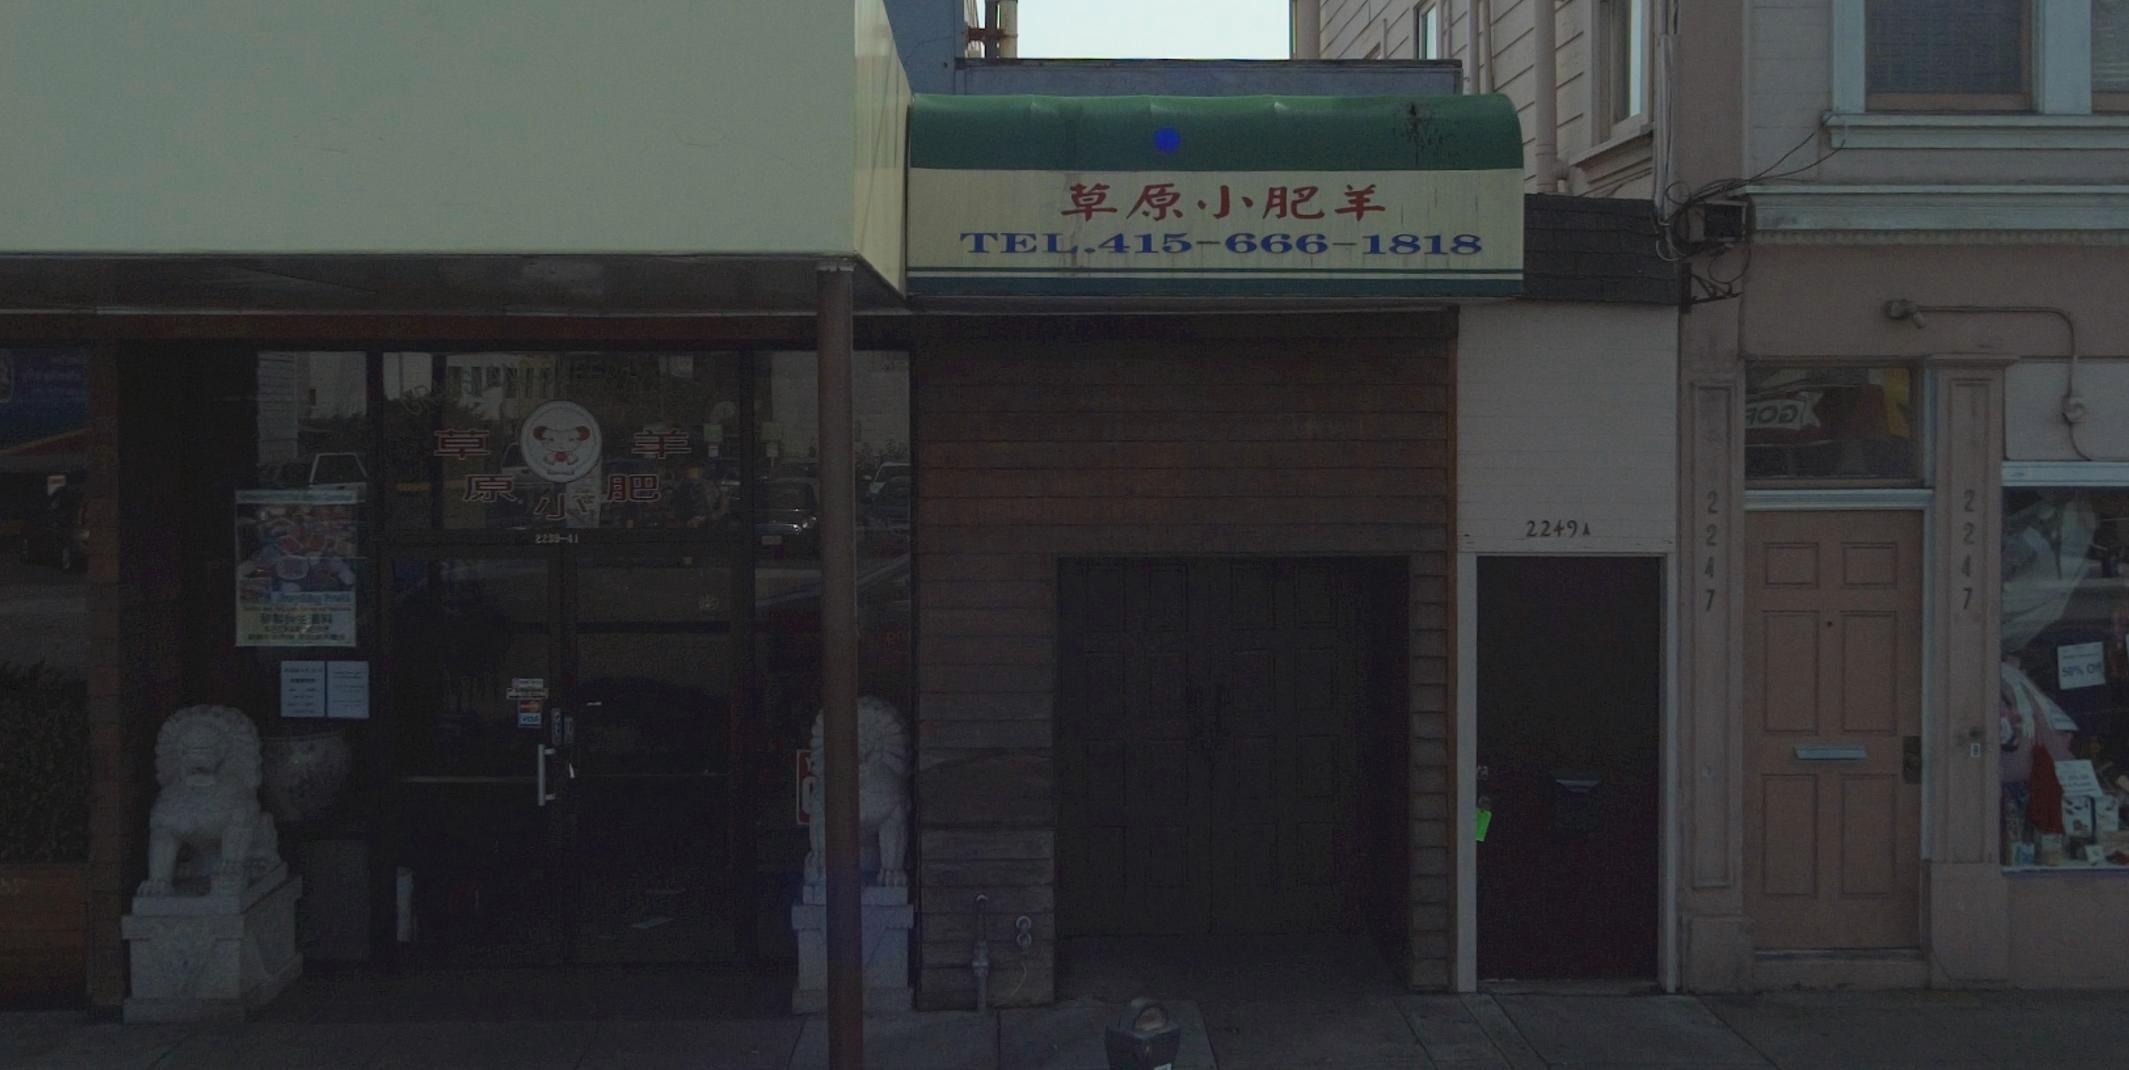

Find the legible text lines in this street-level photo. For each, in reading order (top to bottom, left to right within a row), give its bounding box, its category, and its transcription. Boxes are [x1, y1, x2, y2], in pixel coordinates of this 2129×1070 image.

[953, 230, 1482, 257] None: TEL.415-666-1818
[1751, 401, 1804, 427] None: O*
[533, 531, 581, 545] StreetNumber: 2239-41
[1525, 519, 1591, 539] StreetNumber: 2249A
[1703, 485, 1720, 615] StreetNumber: 2247
[1959, 483, 1977, 610] StreetNumber: 2247
[2061, 660, 2105, 679] None: 50% Off
[521, 714, 540, 723] None: VISA